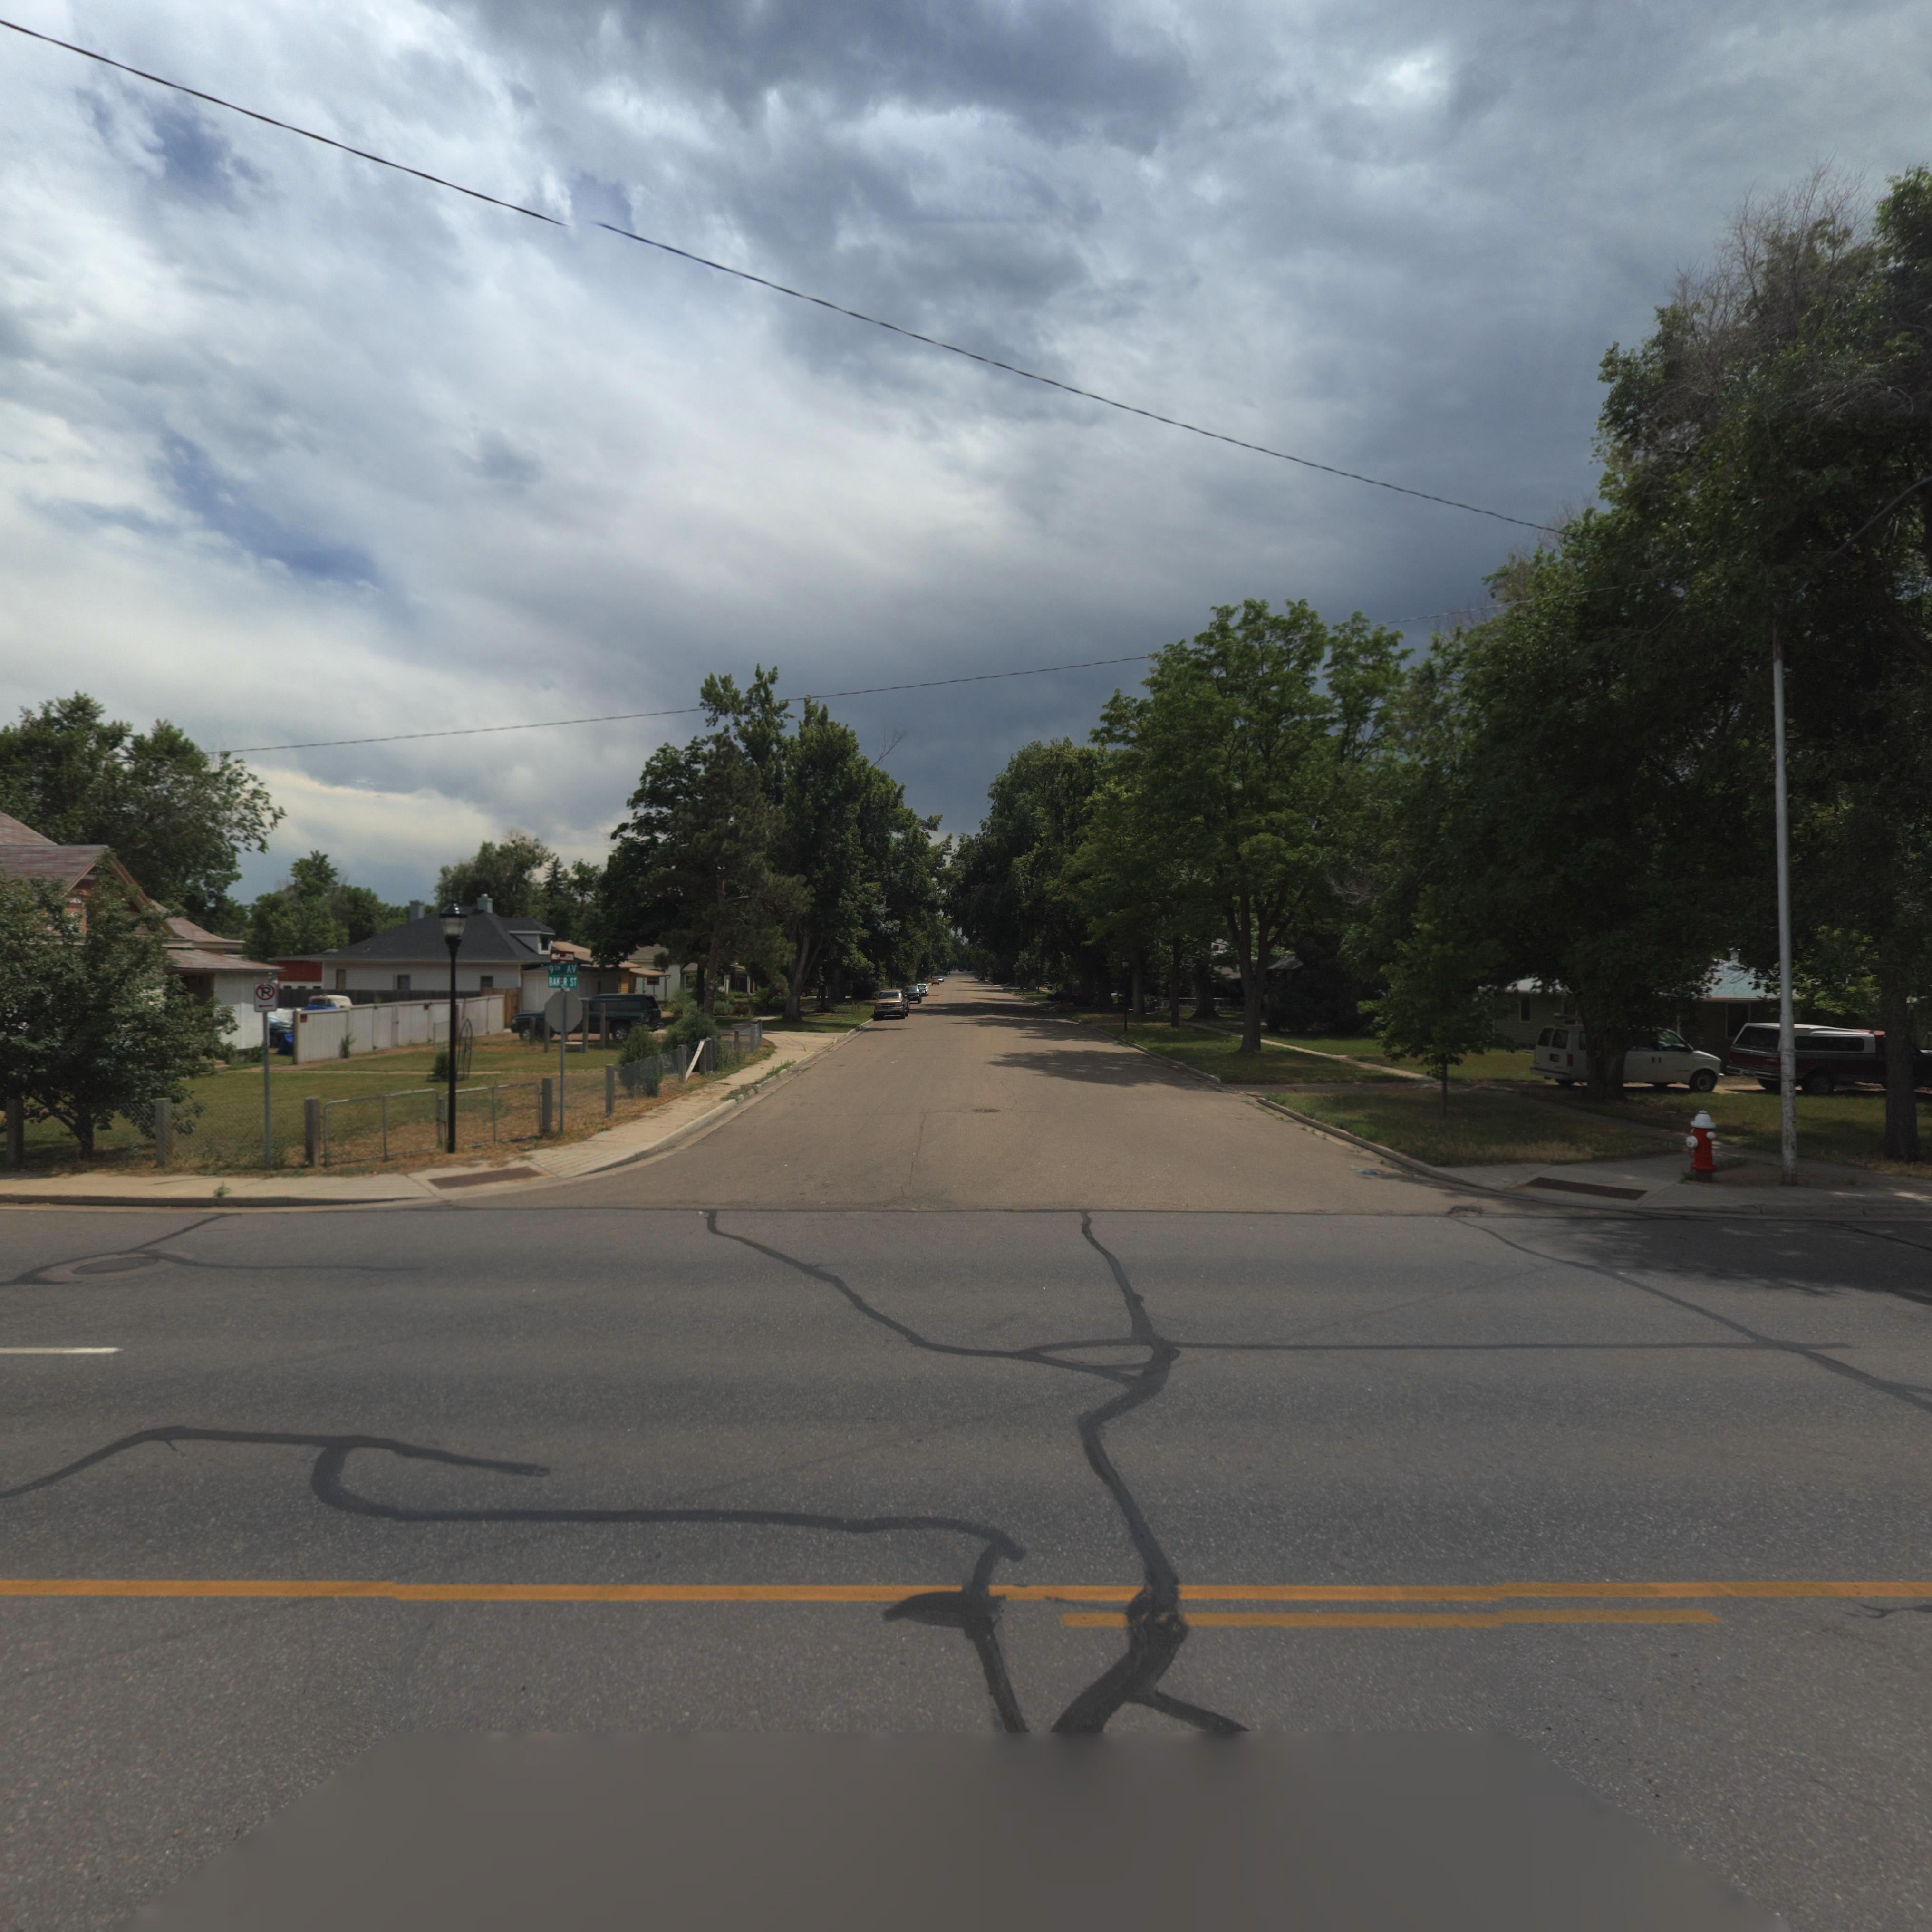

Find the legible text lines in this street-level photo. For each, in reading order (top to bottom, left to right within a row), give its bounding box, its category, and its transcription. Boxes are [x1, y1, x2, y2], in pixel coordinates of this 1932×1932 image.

[548, 964, 577, 974] StreetName: 9TH AV
[548, 976, 578, 987] StreetName: BAKER ST